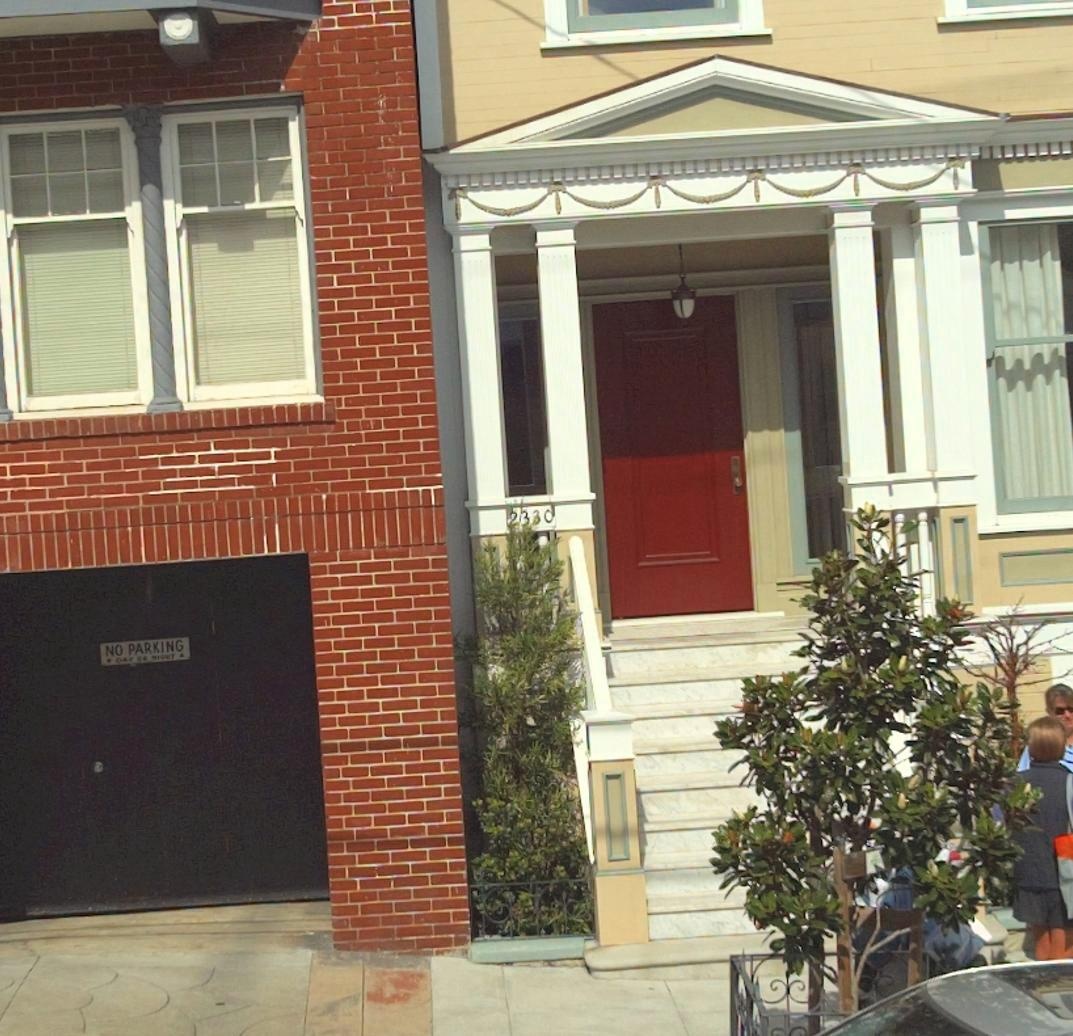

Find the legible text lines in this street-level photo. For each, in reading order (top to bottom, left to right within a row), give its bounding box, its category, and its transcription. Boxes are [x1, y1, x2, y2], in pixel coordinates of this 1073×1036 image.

[504, 507, 557, 530] StreetNumber: 23*0
[102, 637, 187, 660] None: NO PARKING